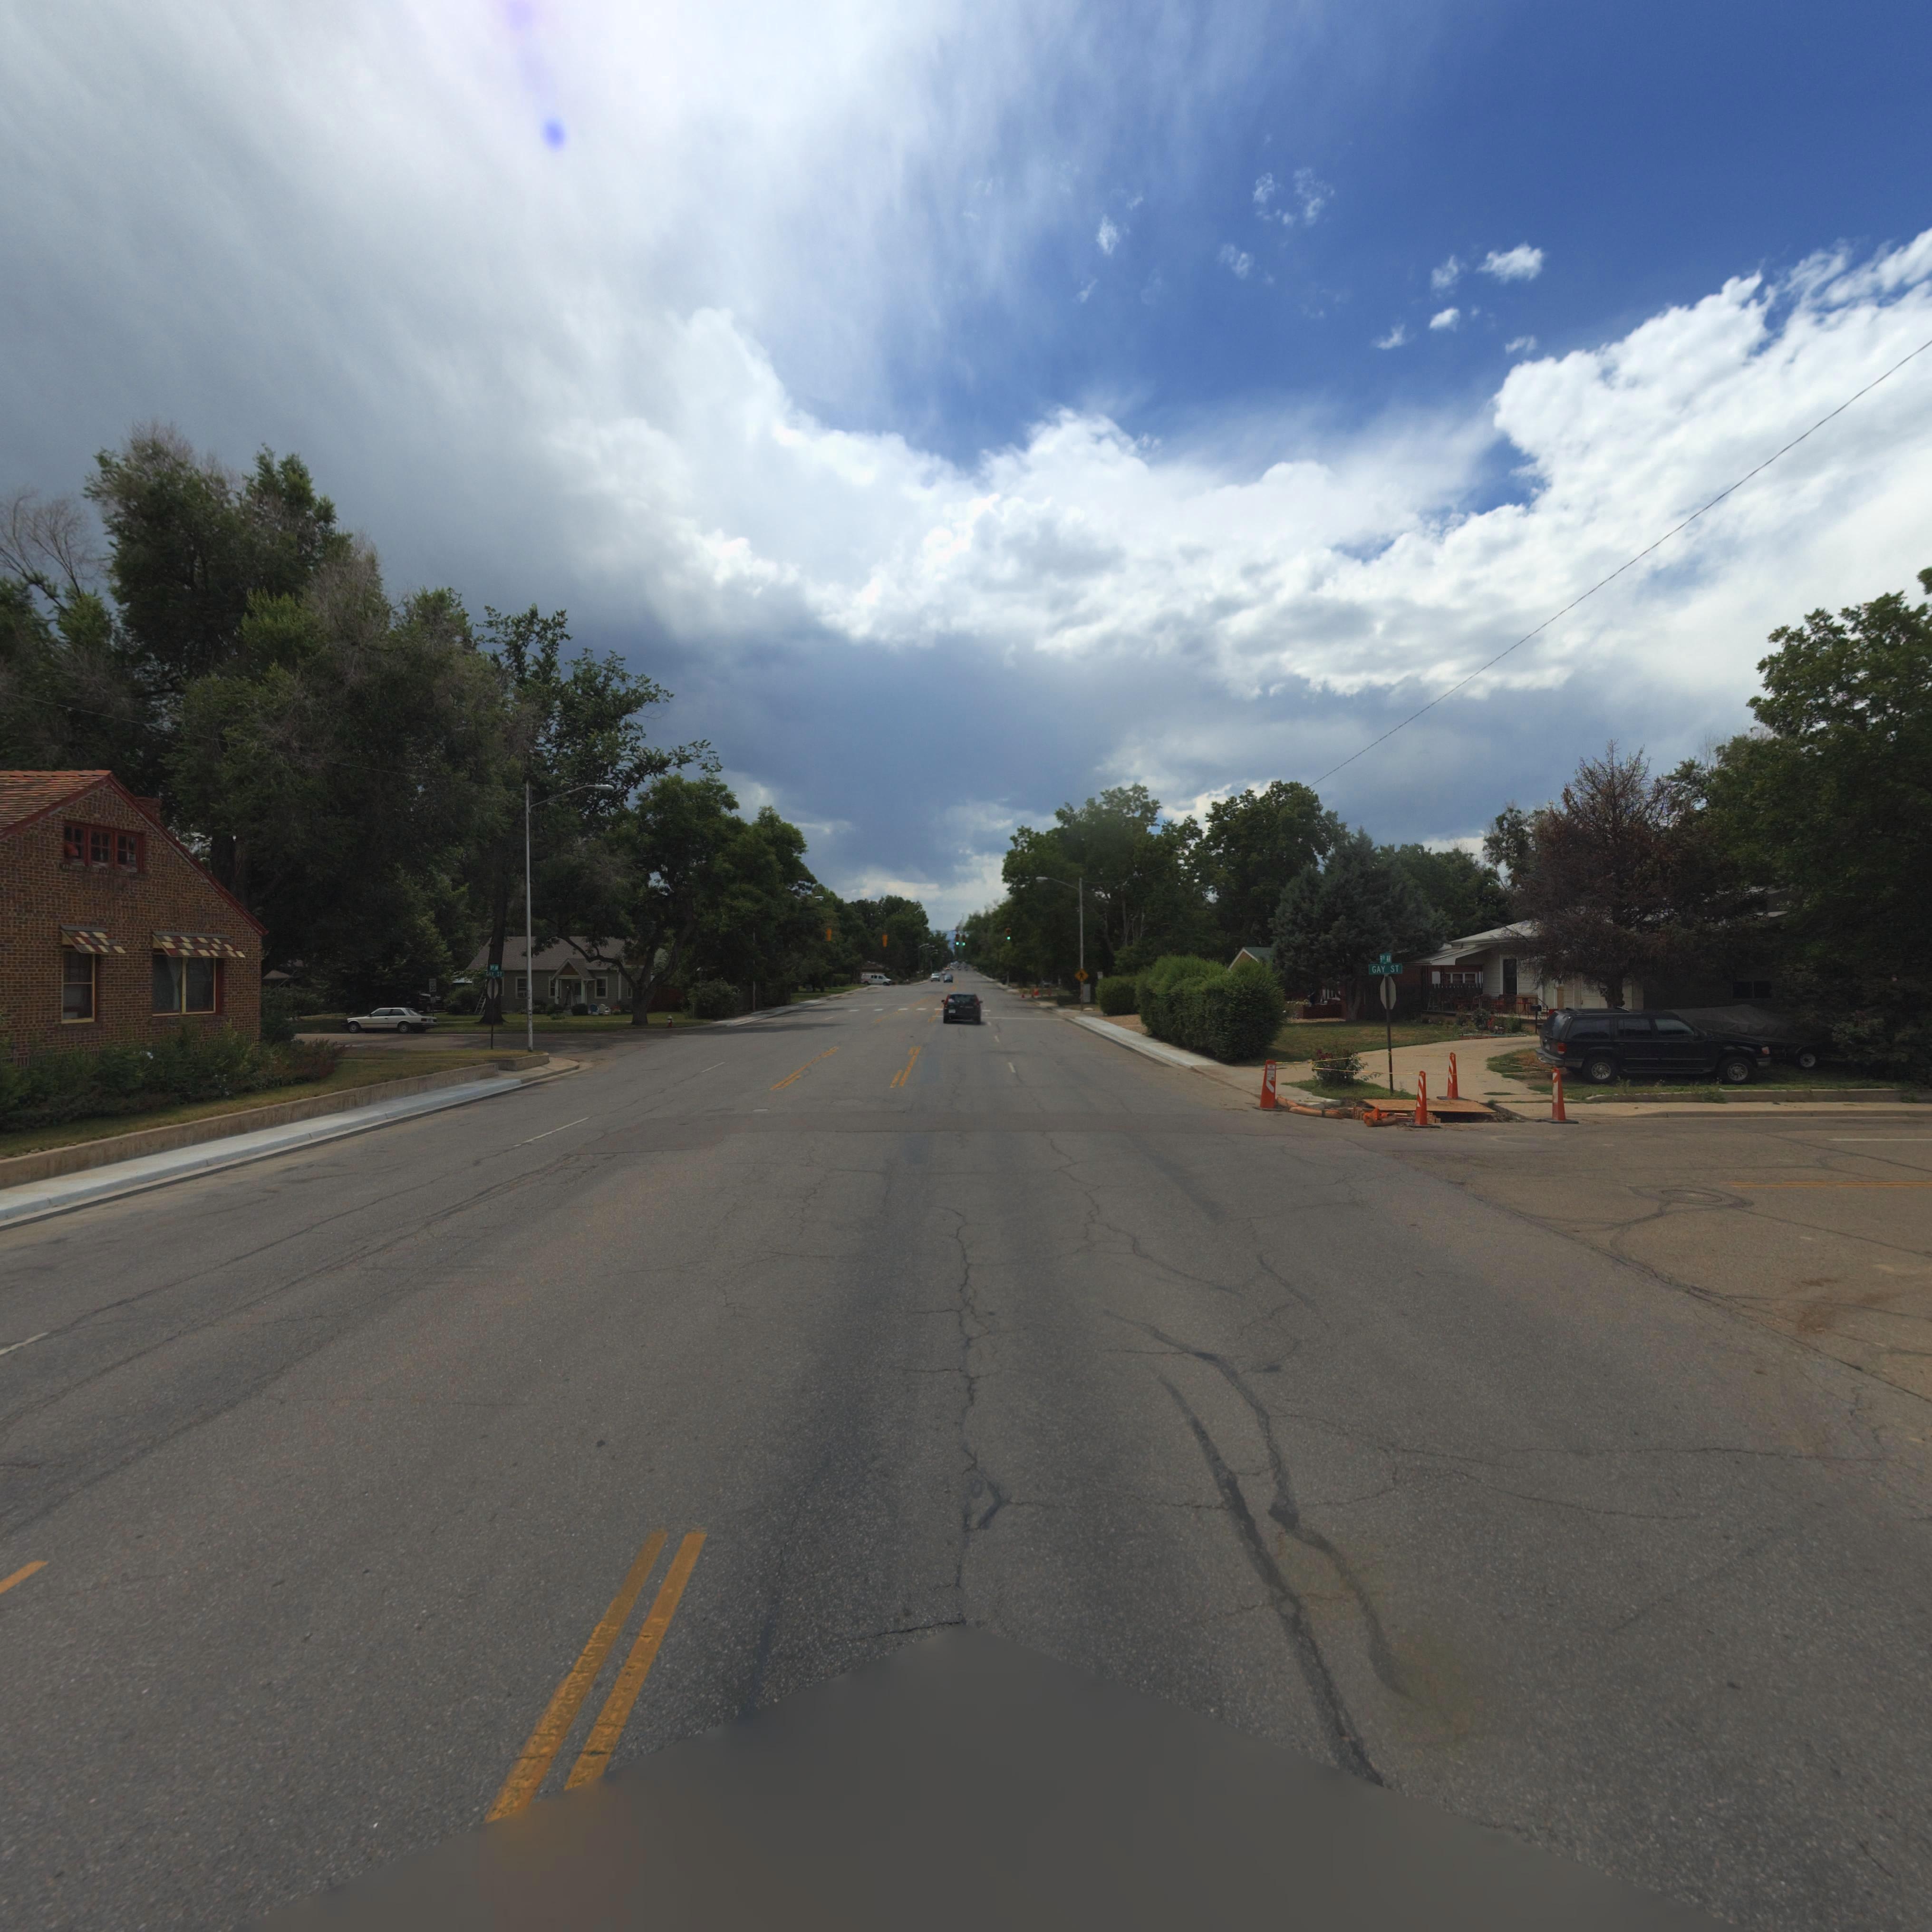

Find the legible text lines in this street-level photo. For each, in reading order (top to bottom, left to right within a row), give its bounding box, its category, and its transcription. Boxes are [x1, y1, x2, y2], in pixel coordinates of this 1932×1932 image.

[1380, 955, 1391, 962] StreetName: 9TH AV
[490, 965, 498, 970] StreetName: 9TH AV
[1372, 965, 1399, 973] StreetName: GAY ST
[485, 971, 502, 976] StreetName: GAY ST